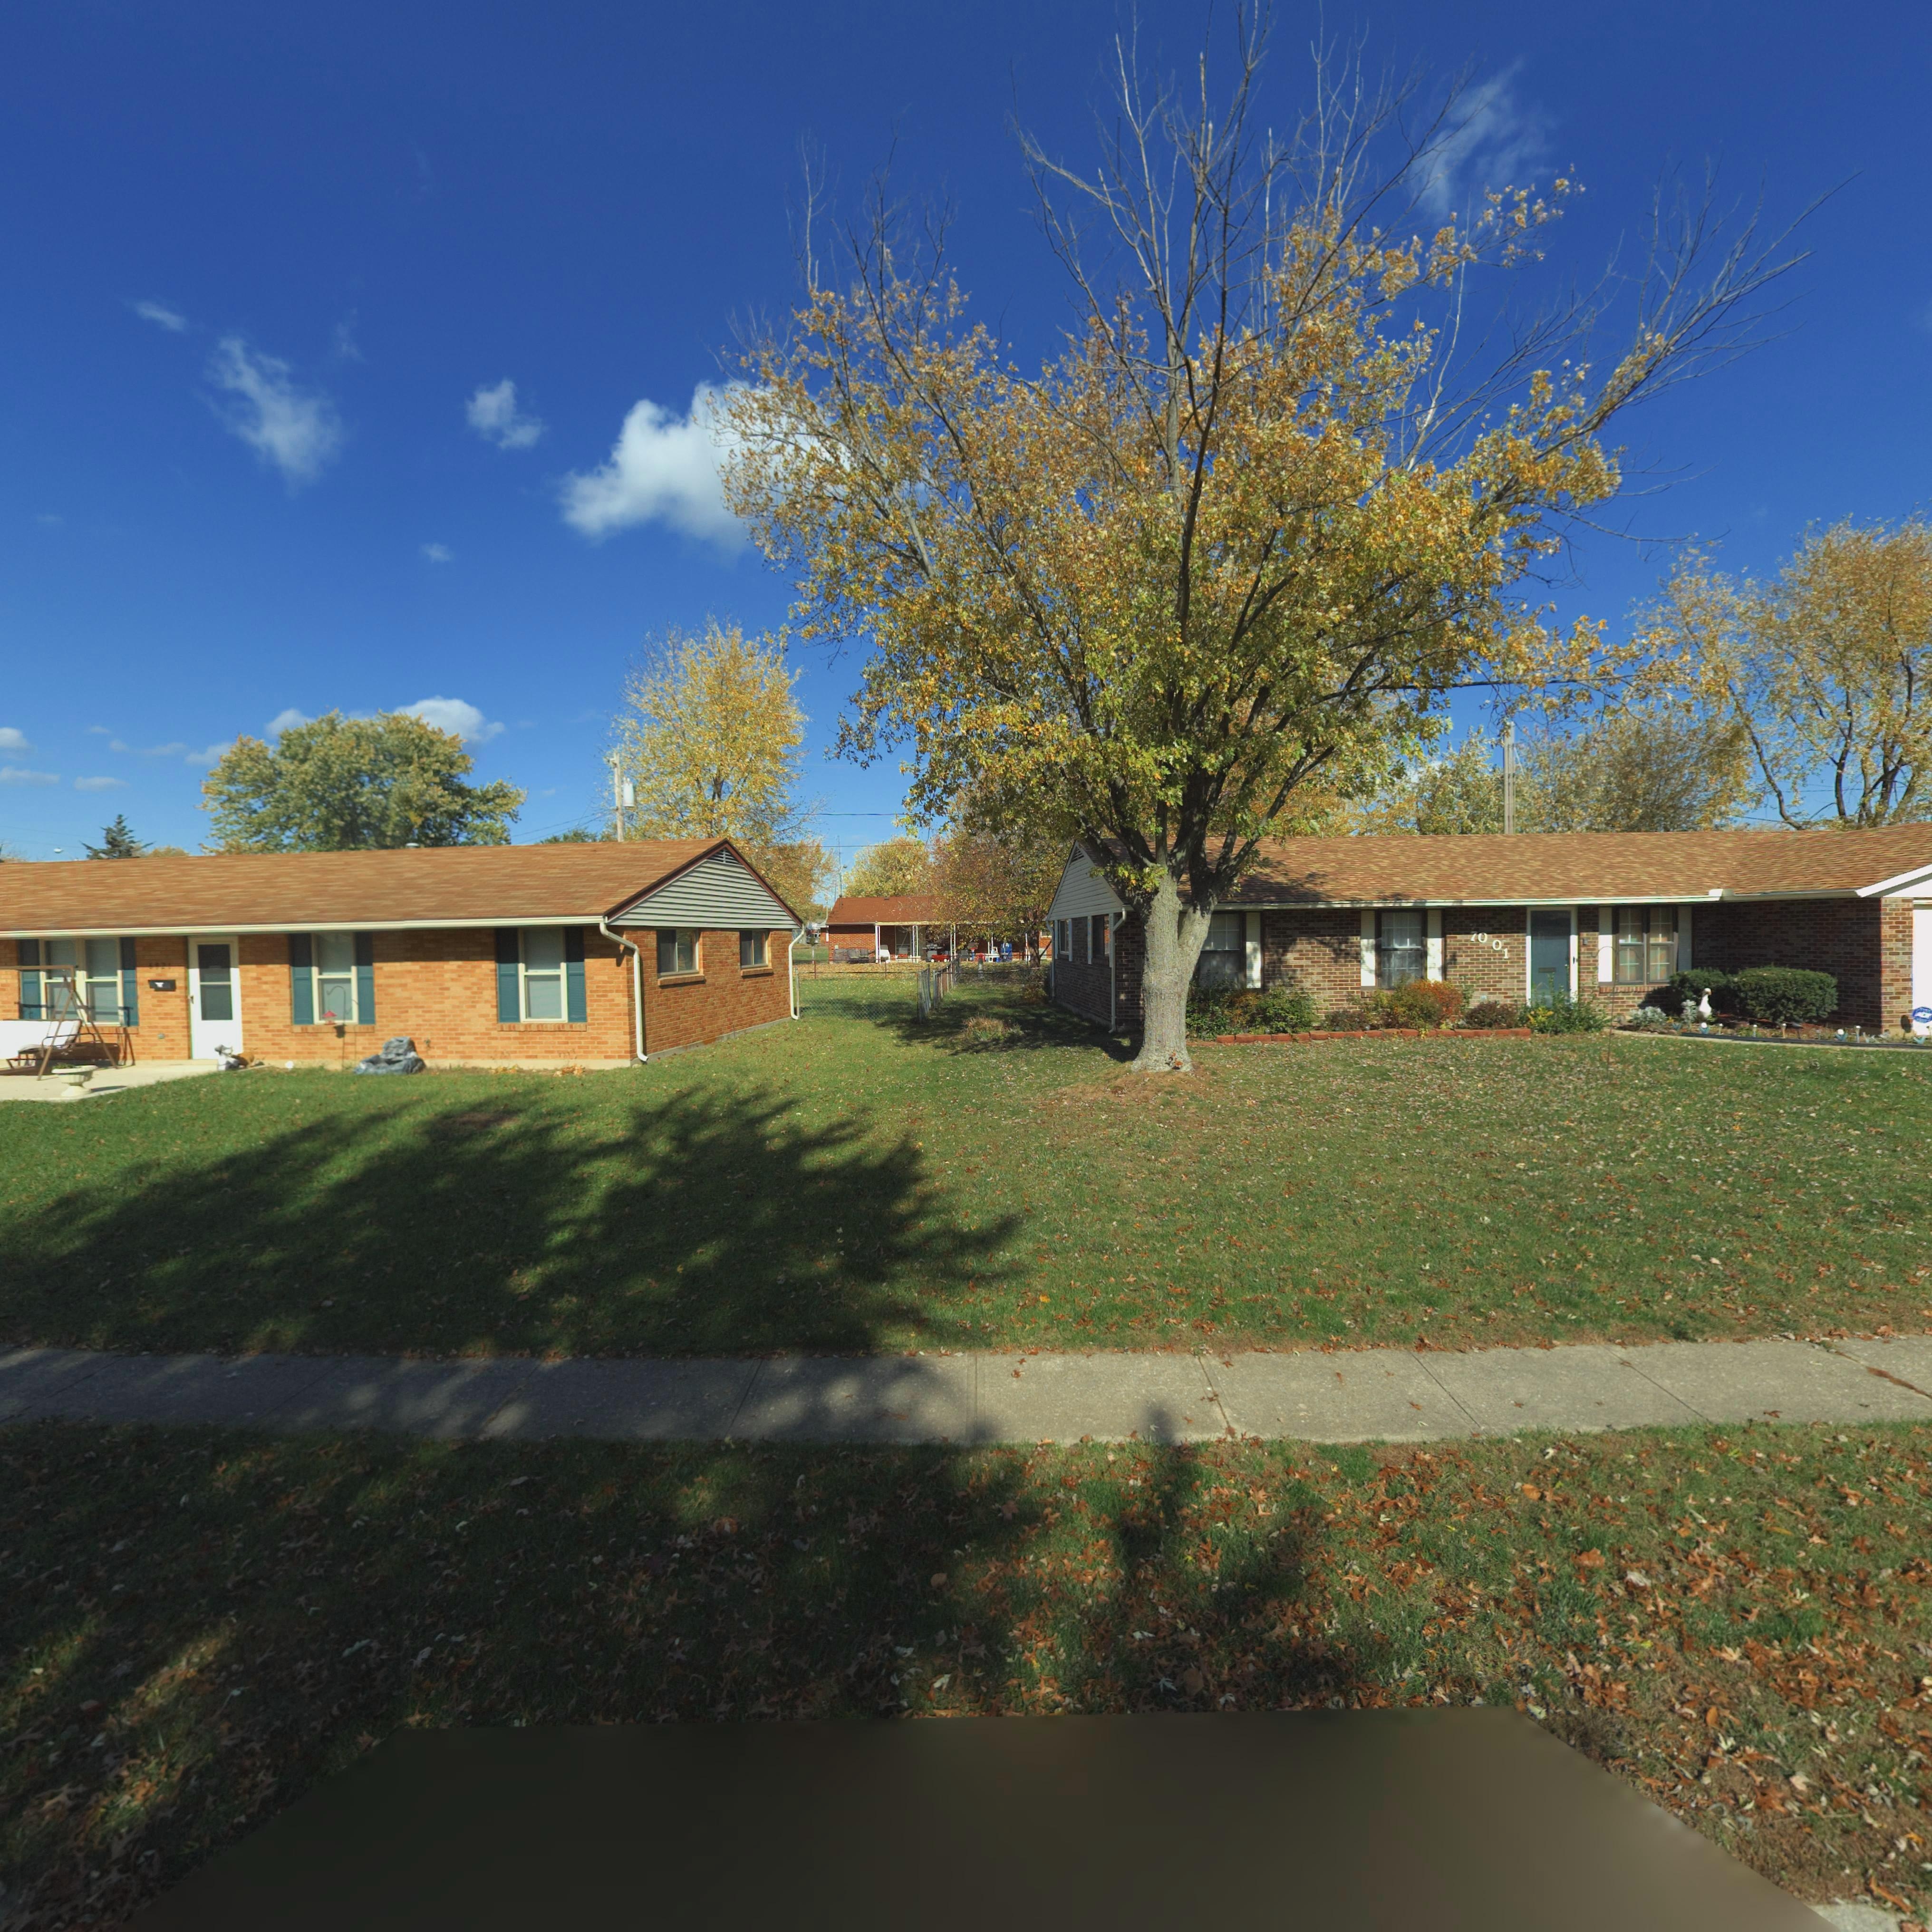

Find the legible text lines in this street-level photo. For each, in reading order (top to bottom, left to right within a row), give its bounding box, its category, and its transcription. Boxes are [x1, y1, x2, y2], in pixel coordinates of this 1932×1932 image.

[1469, 929, 1510, 960] StreetNumber: 7001
[148, 961, 172, 971] StreetNumber: 6921